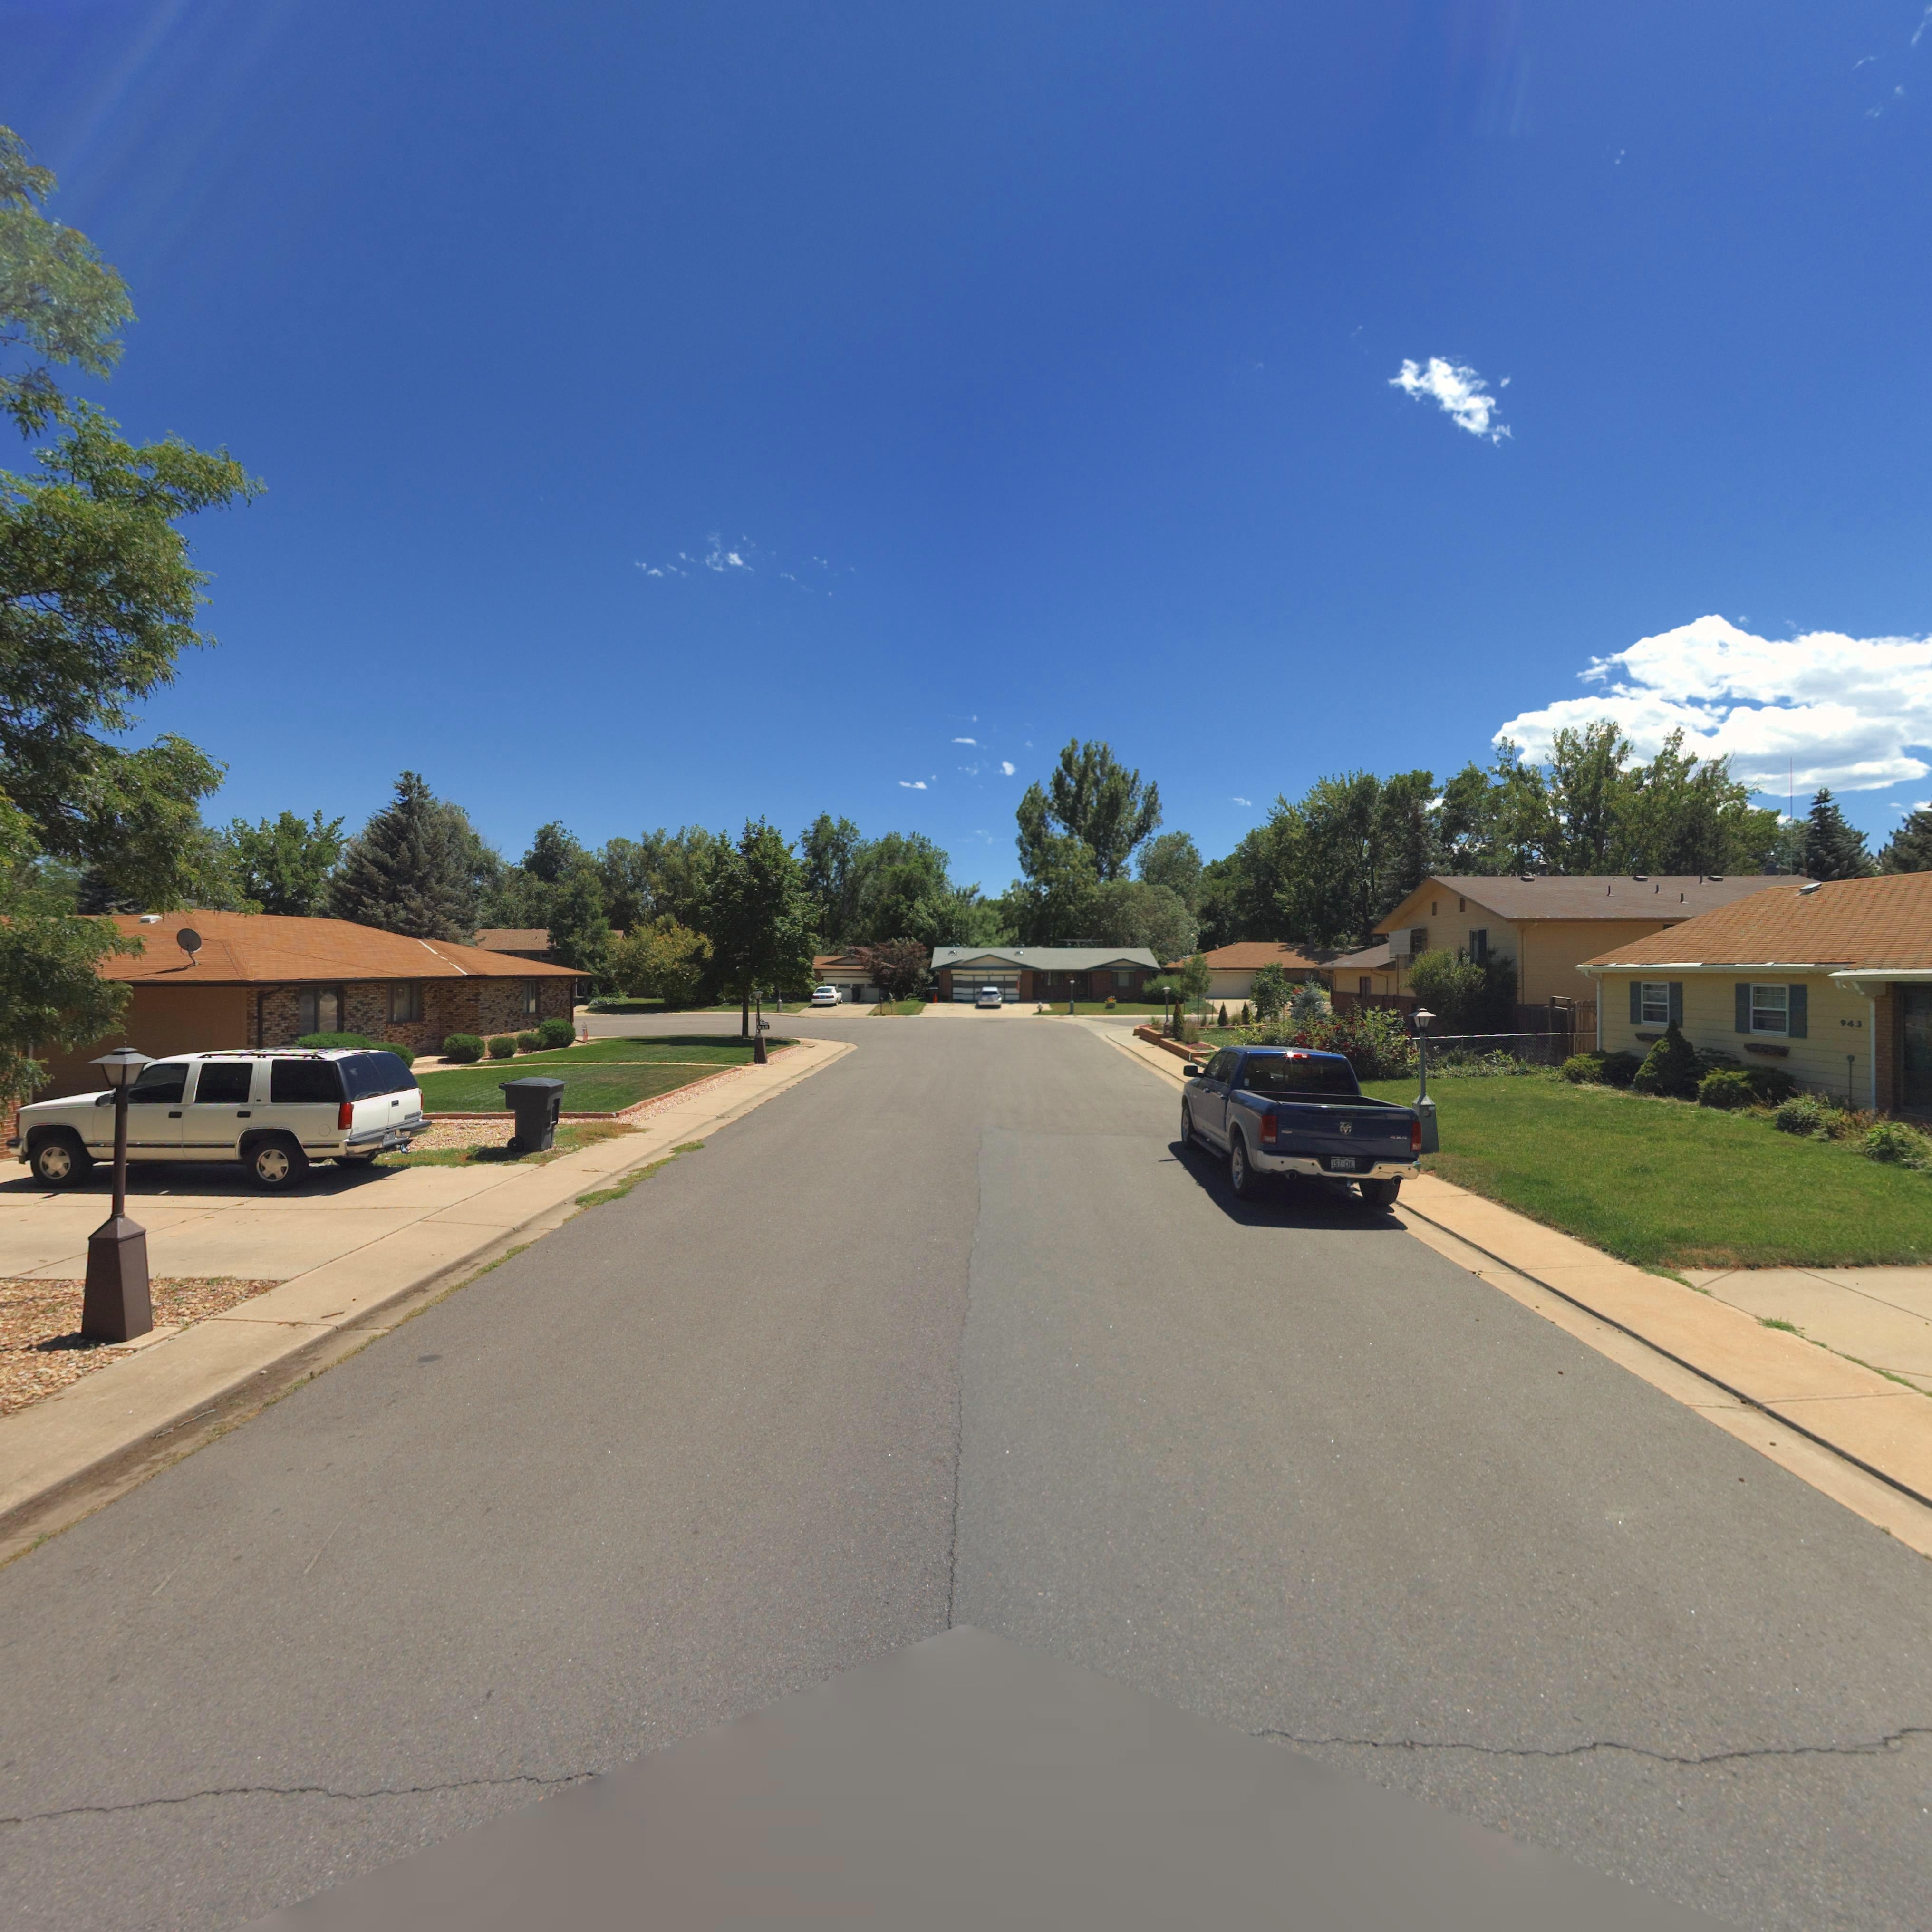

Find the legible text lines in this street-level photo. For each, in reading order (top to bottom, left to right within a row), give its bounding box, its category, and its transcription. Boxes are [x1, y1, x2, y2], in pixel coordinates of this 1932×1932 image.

[757, 1025, 768, 1029] StreetNumber: 938
[1839, 1019, 1862, 1028] StreetNumber: 943